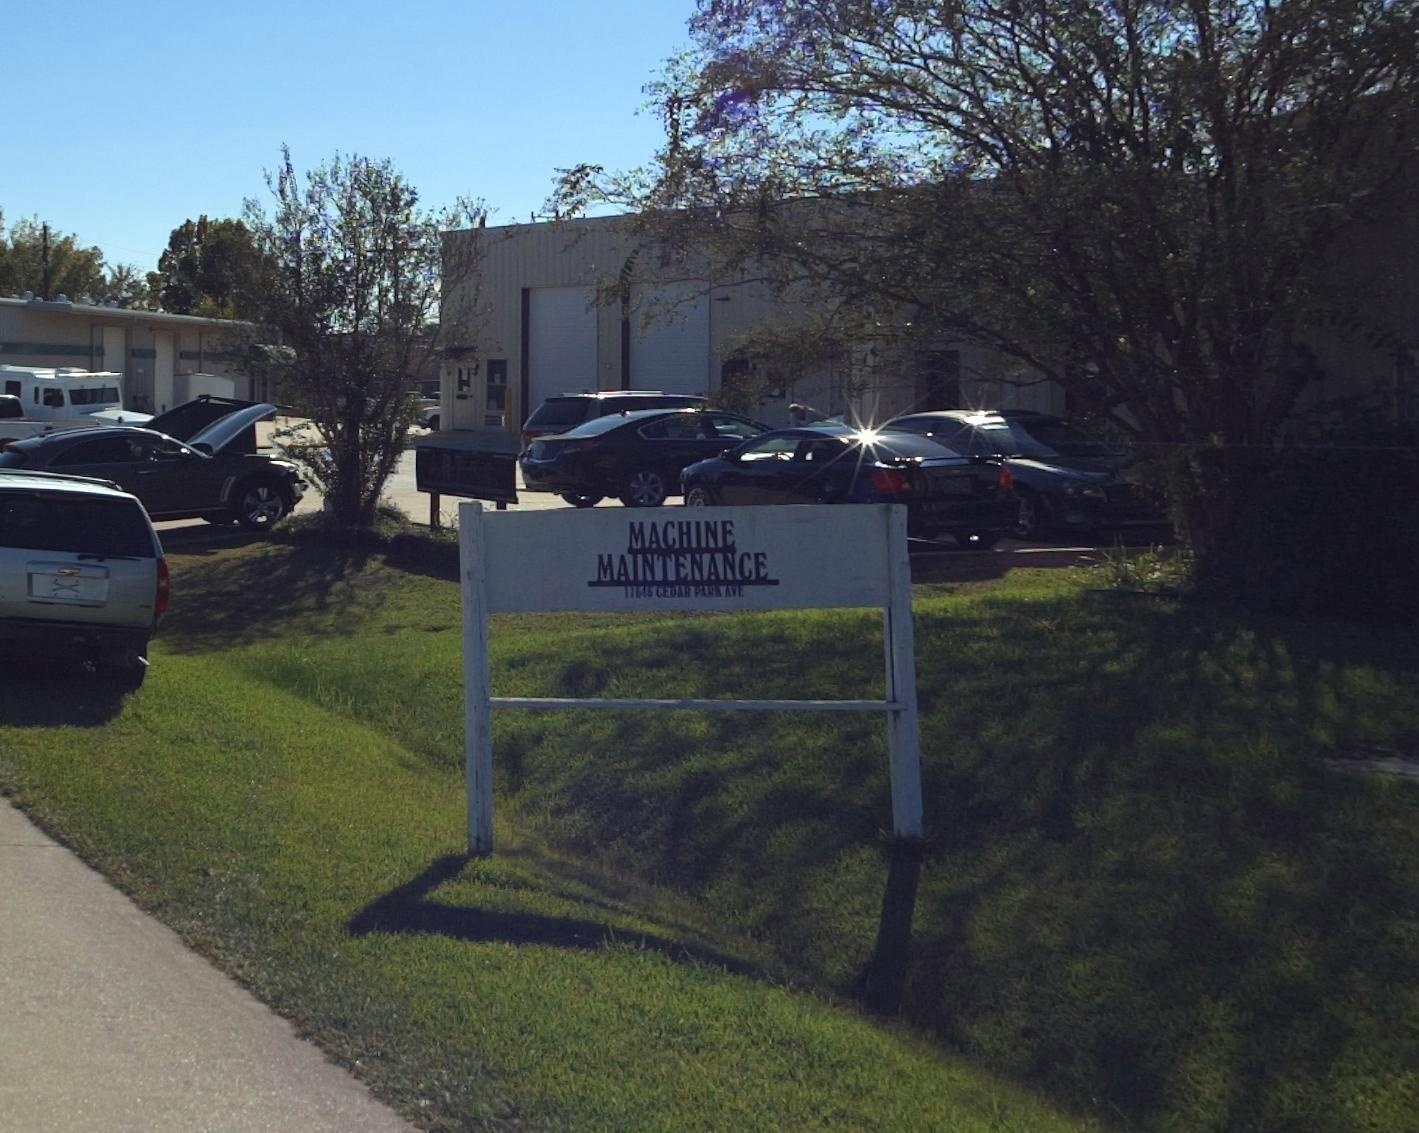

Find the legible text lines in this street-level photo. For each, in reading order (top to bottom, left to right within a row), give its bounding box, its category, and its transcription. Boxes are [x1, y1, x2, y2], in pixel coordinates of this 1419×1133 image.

[626, 517, 737, 551] None: MACHINE
[594, 549, 770, 584] None: MAINTENANCE
[622, 583, 656, 601] StreetNumber: 11645
[654, 580, 748, 602] StreetName: CEDAR PARK AVE